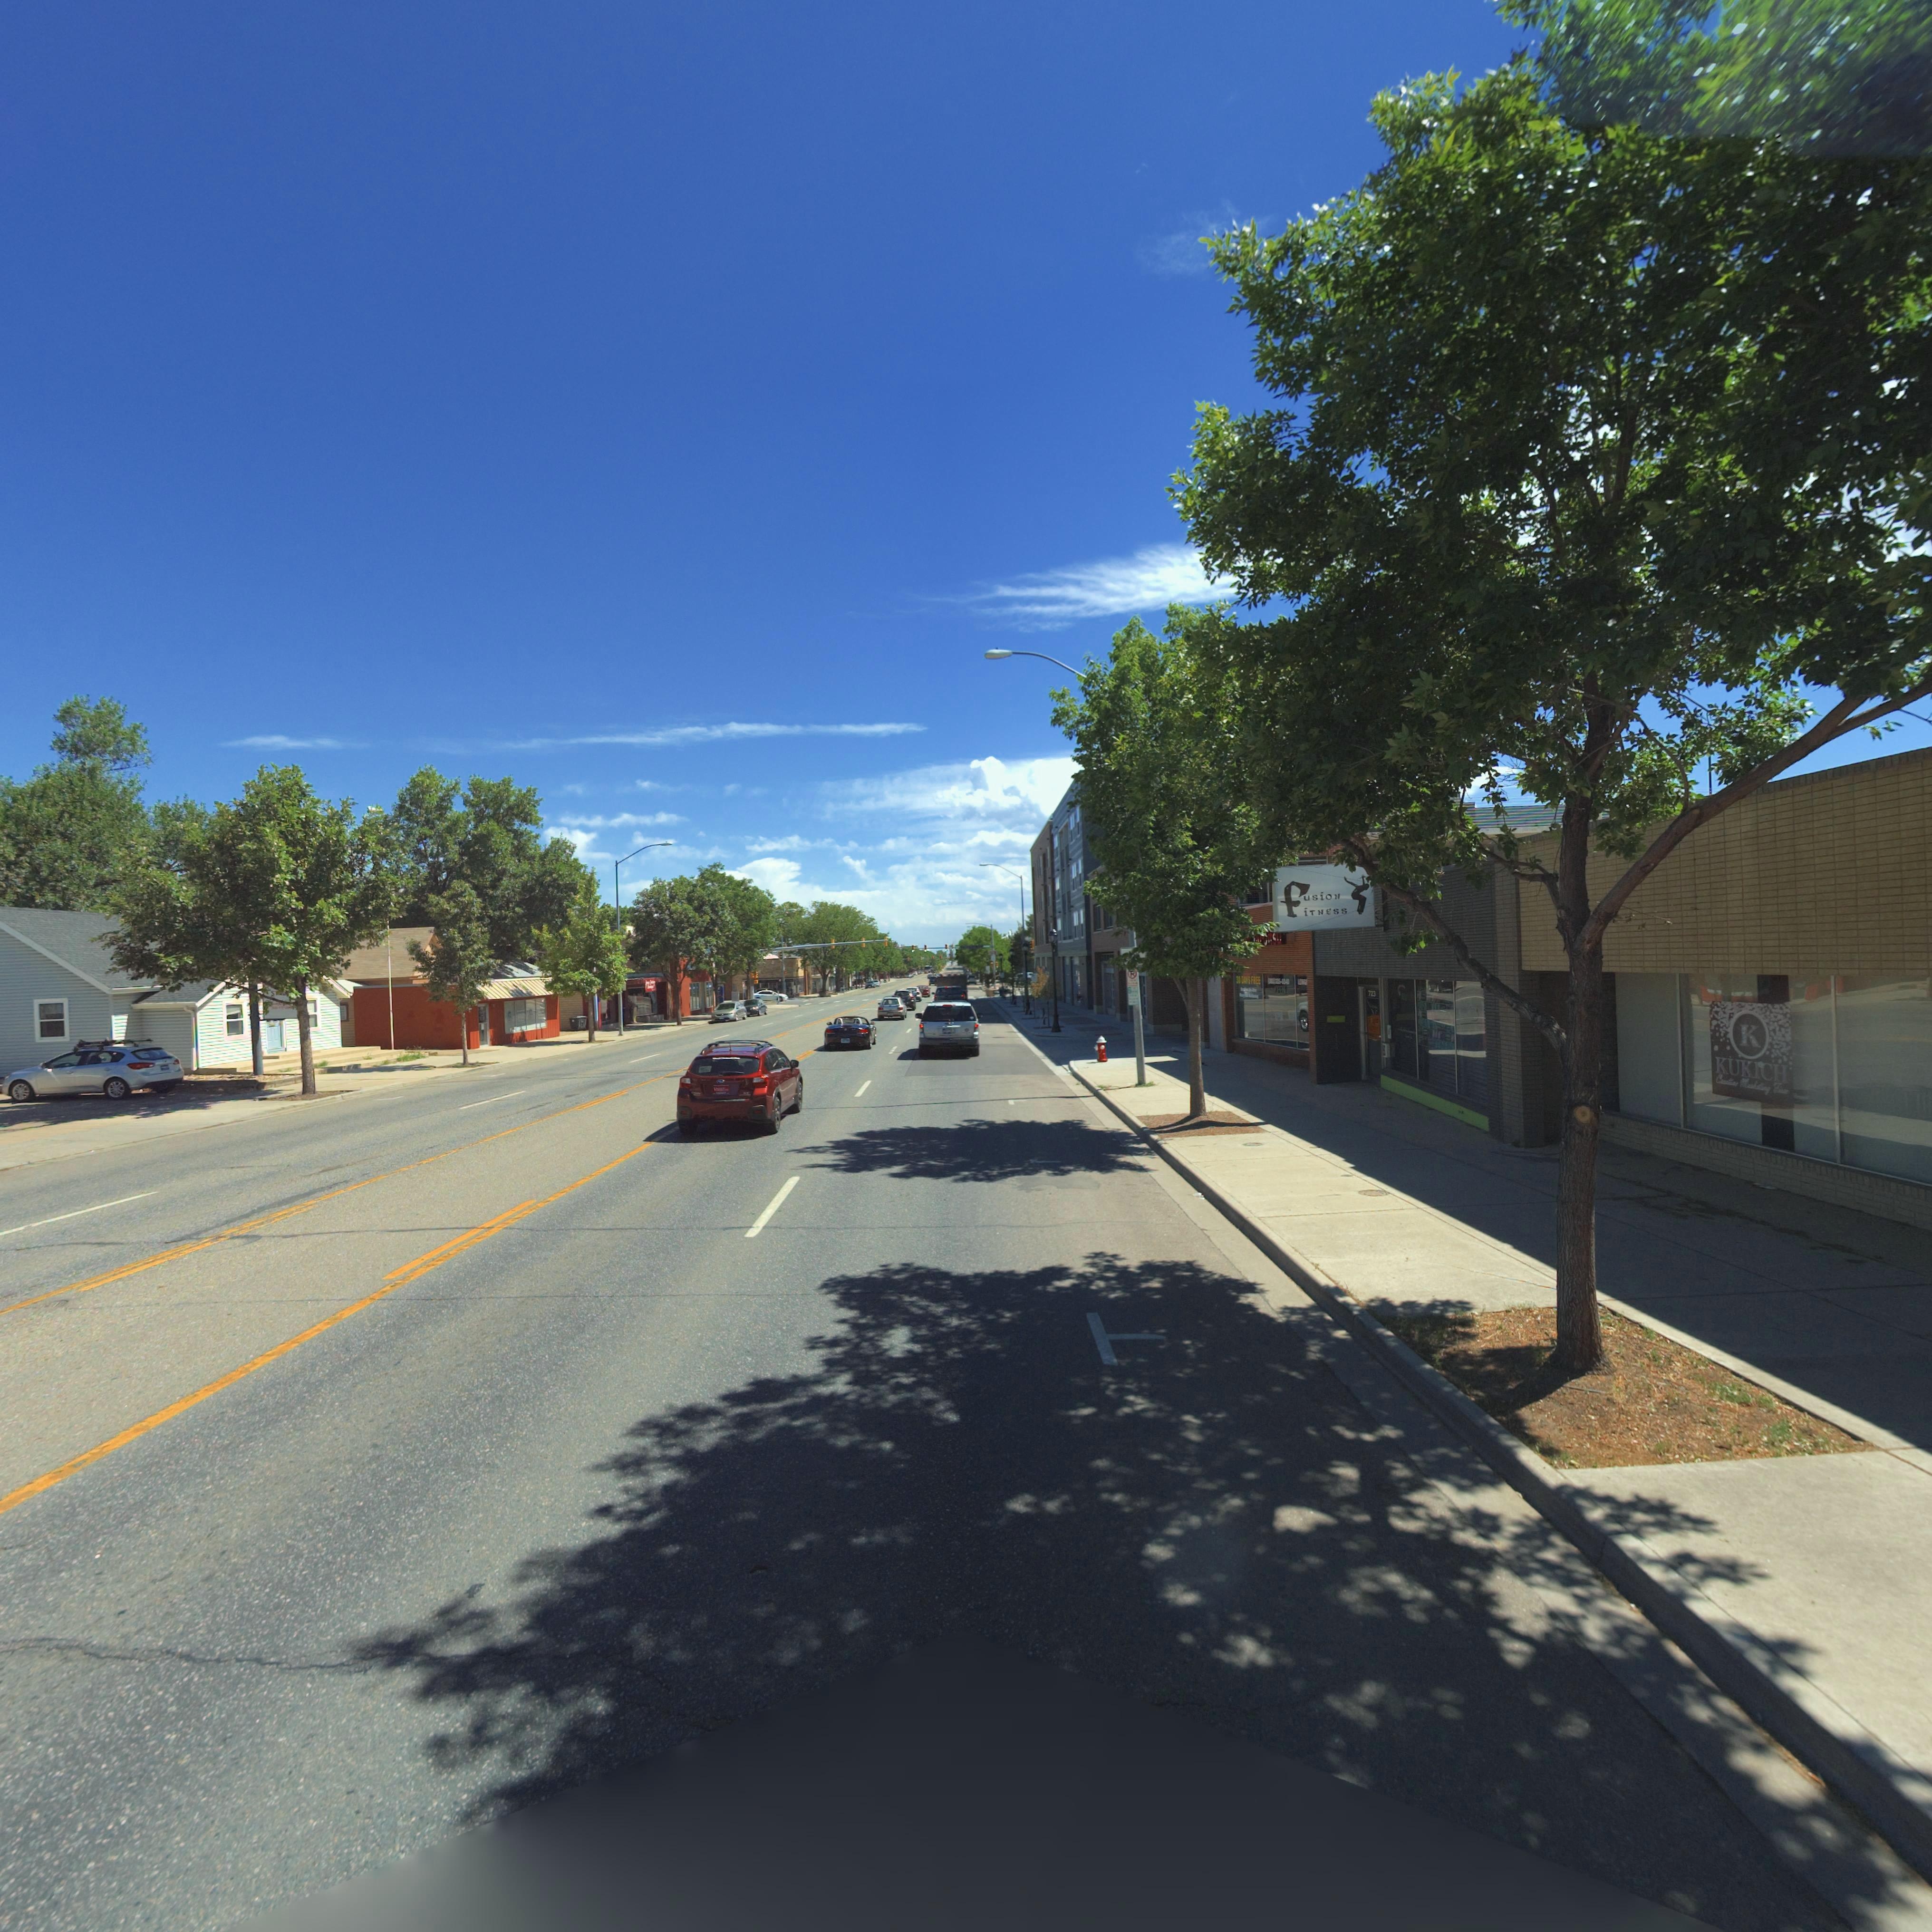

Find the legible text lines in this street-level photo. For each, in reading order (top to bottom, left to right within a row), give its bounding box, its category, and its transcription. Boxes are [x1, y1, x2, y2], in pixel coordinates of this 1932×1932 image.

[1279, 880, 1311, 918] BusinessName: f
[1303, 891, 1340, 901] BusinessName: usioN
[1304, 907, 1347, 917] BusinessName: iTNess
[1253, 932, 1282, 946] BusinessName: *****ITSU
[270, 990, 275, 996] BusinessName: S
[1367, 989, 1376, 997] StreetNumber: 723
[1714, 1056, 1789, 1084] BusinessName: KUKICH